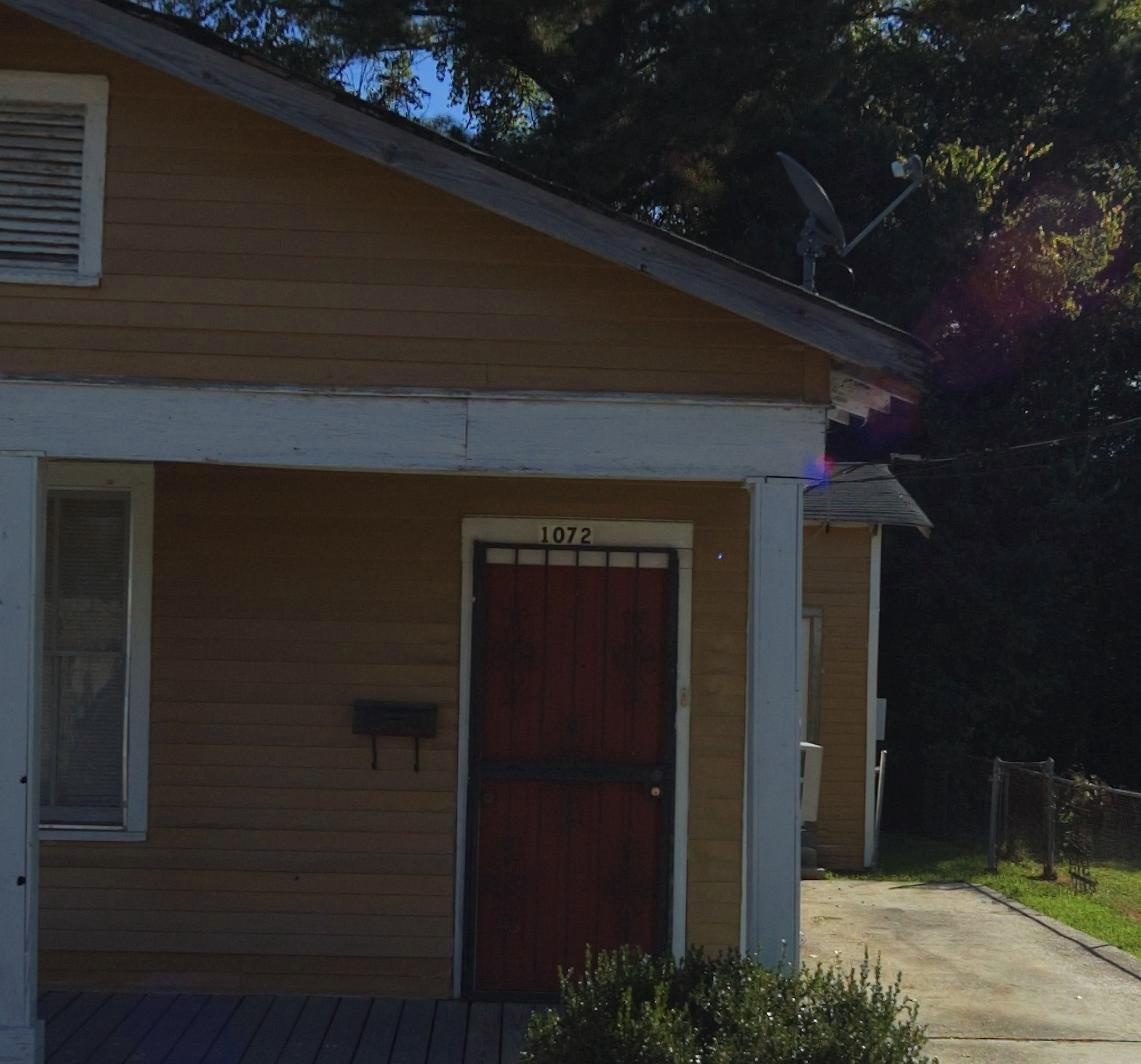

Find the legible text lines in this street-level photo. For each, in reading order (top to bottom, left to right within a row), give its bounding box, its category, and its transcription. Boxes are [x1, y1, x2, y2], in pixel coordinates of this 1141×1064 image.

[539, 524, 593, 547] StreetNumber: 1072